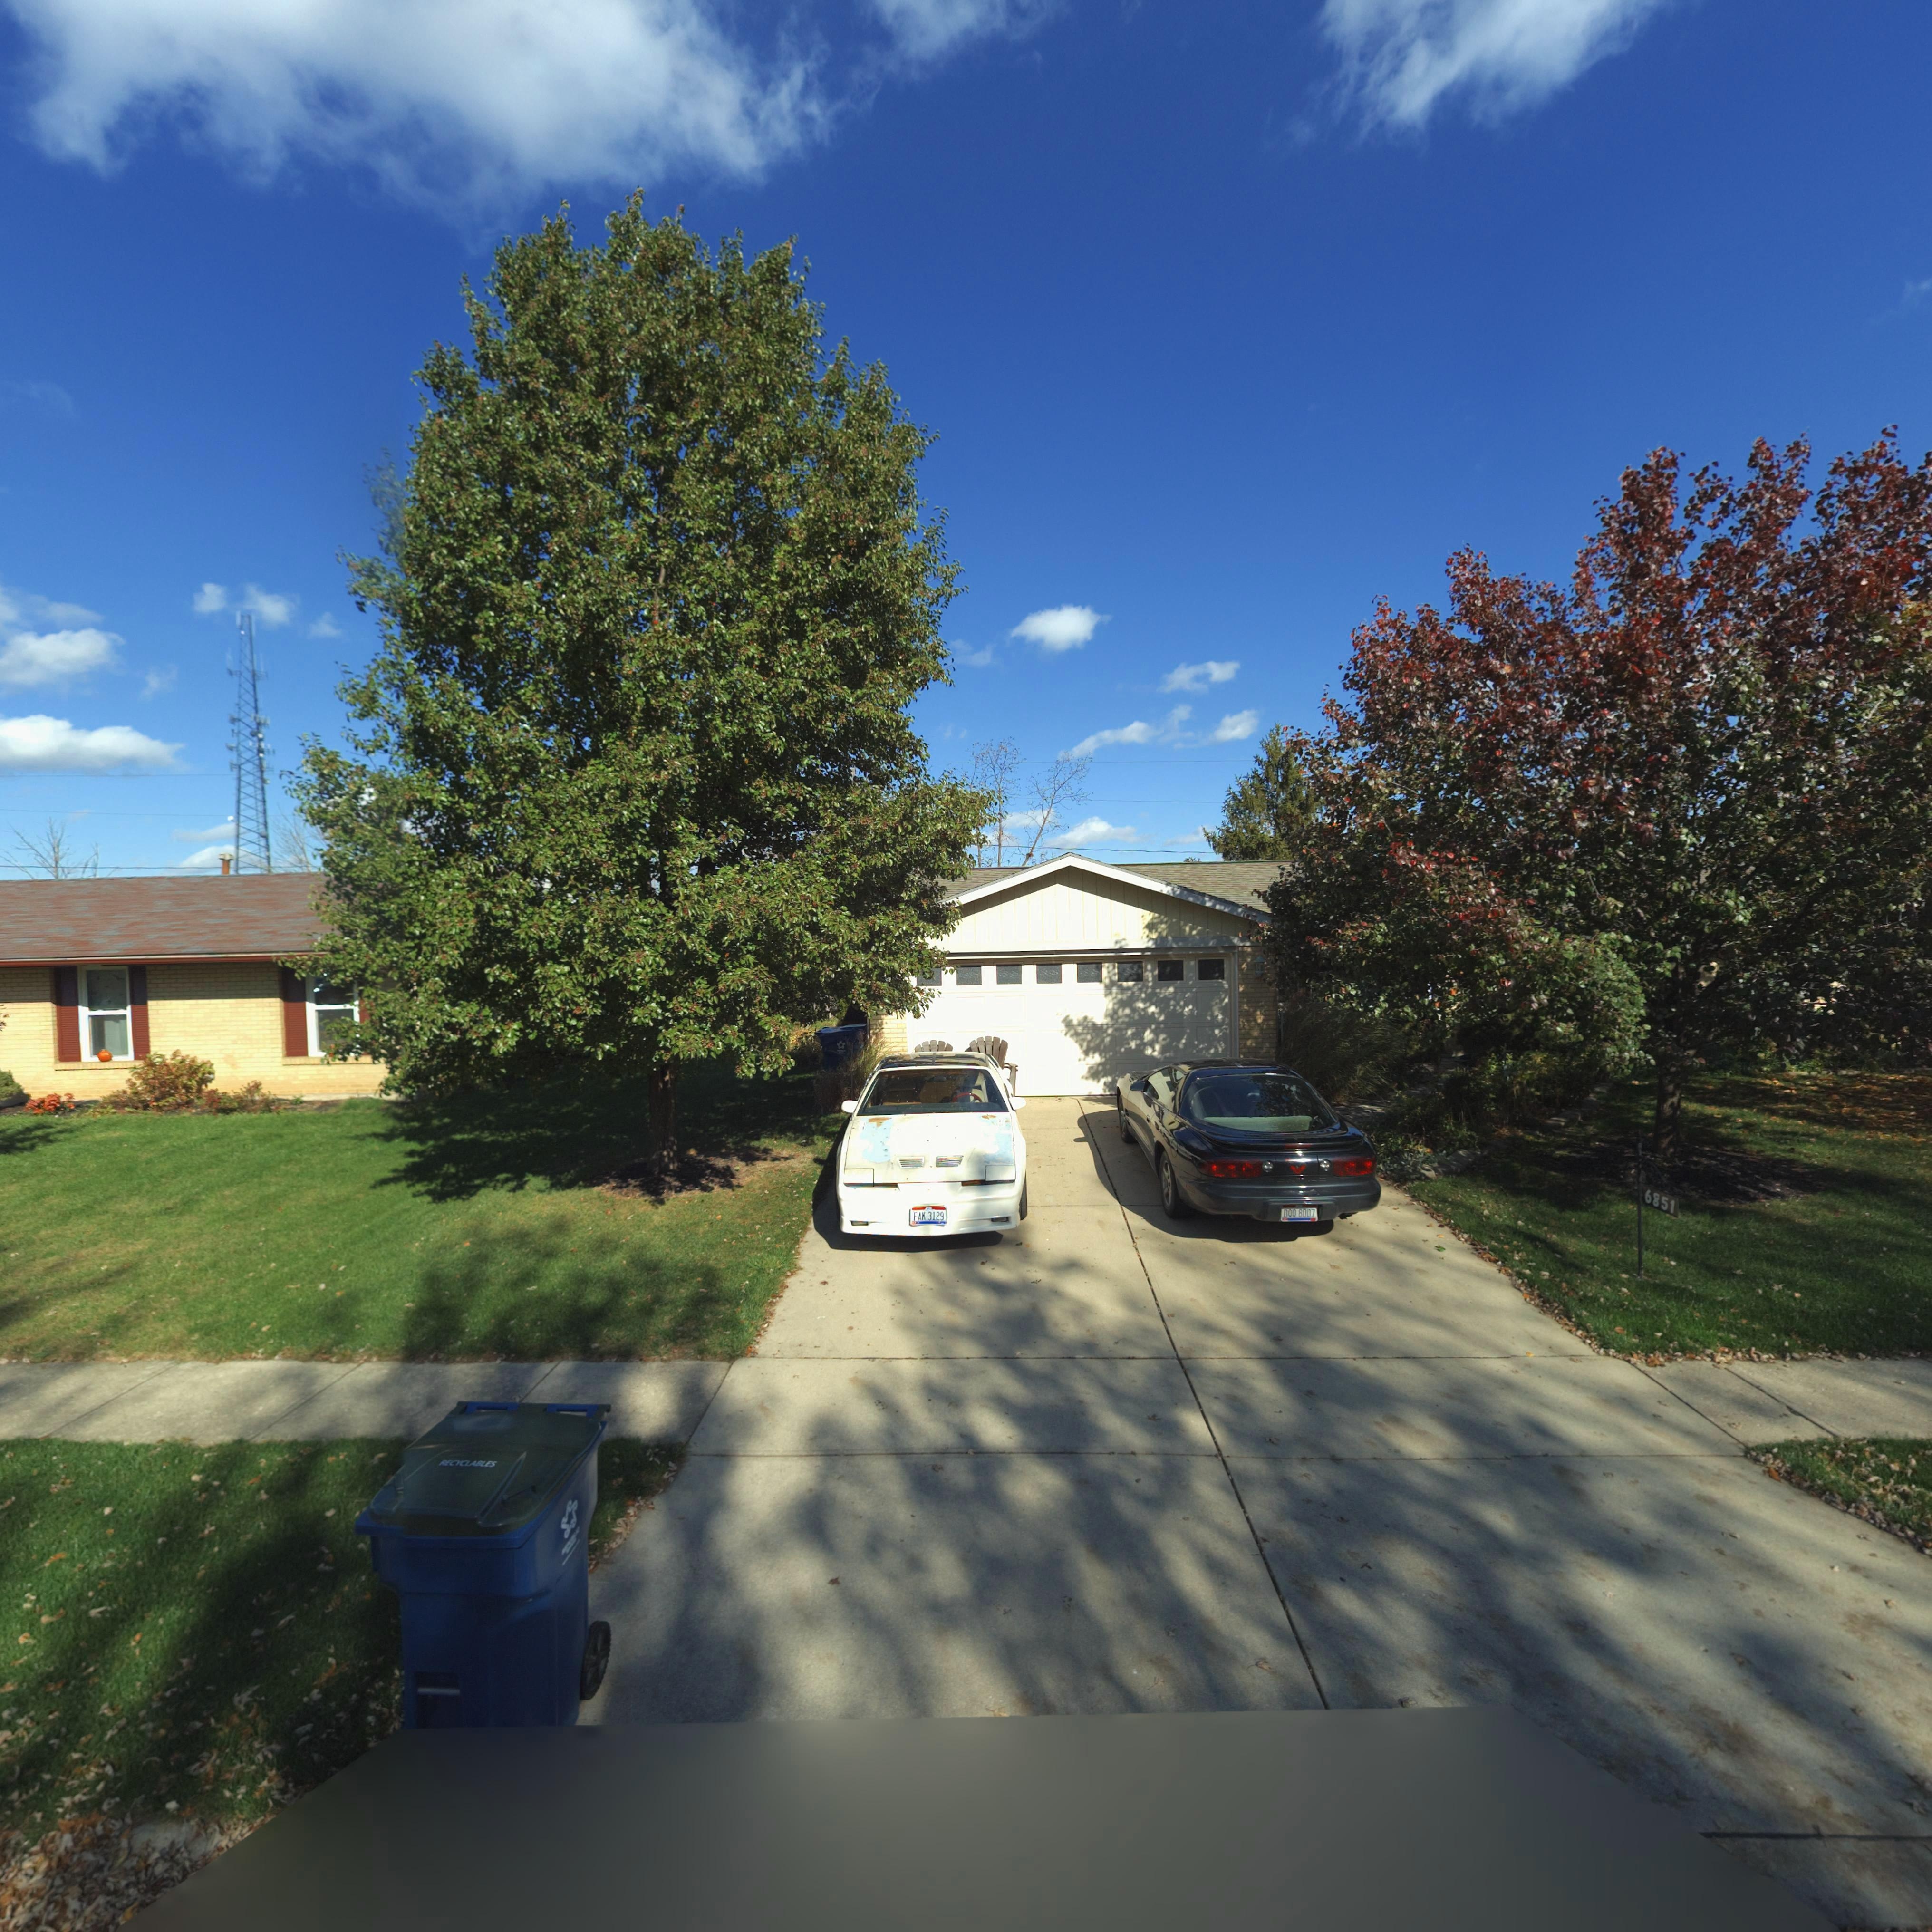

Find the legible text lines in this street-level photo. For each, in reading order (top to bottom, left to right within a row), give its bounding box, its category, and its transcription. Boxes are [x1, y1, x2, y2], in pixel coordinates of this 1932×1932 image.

[1643, 1187, 1676, 1216] StreetNumber: 6851